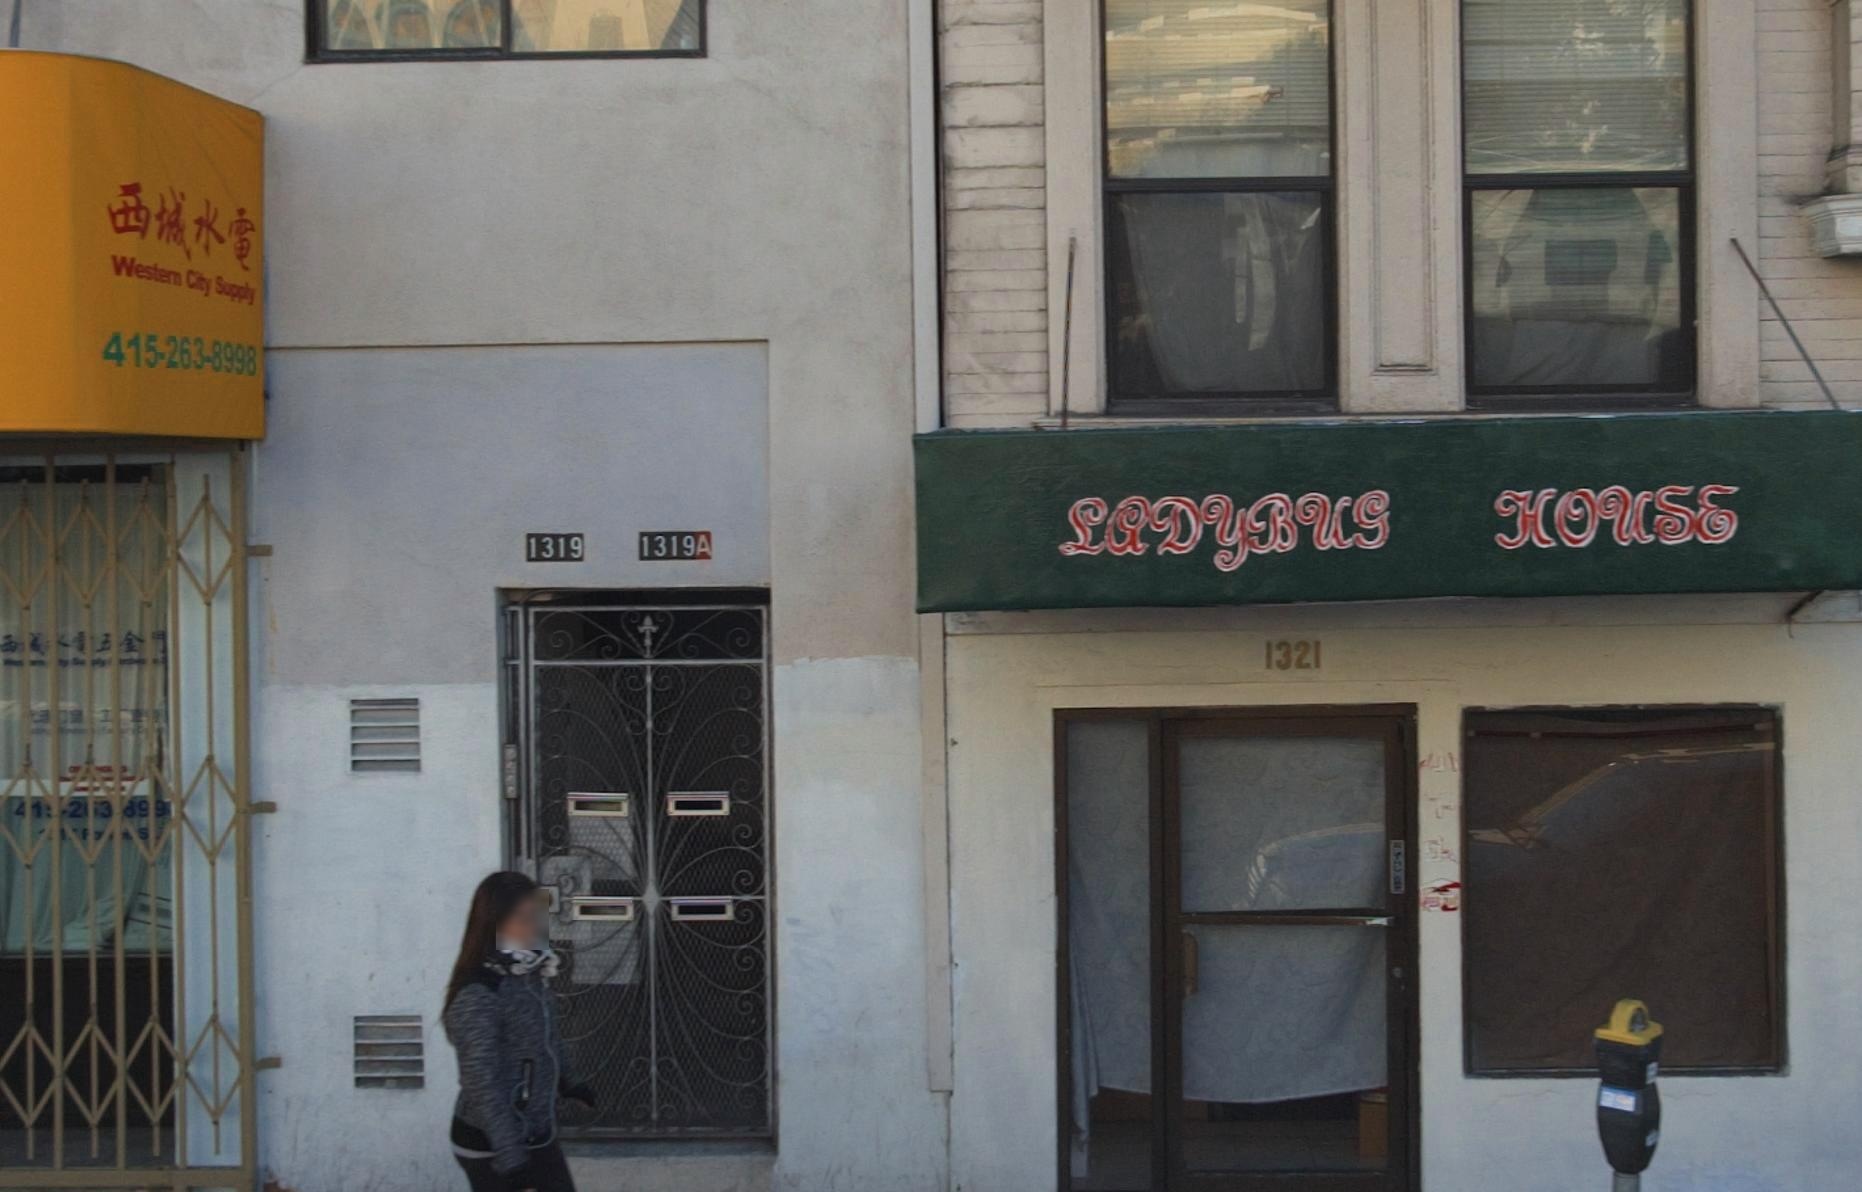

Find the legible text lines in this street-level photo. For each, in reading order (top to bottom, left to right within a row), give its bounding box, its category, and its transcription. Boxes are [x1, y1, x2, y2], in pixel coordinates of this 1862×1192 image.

[107, 251, 258, 307] BusinessName: Western City Supply
[99, 330, 257, 378] None: 415-263-8998
[527, 535, 584, 560] StreetNumber: 1319
[641, 533, 715, 558] StreetNumber: 1319A
[1055, 483, 1744, 576] BusinessName: LaDyBUg HOUSE
[1263, 639, 1324, 671] StreetNumber: 1321